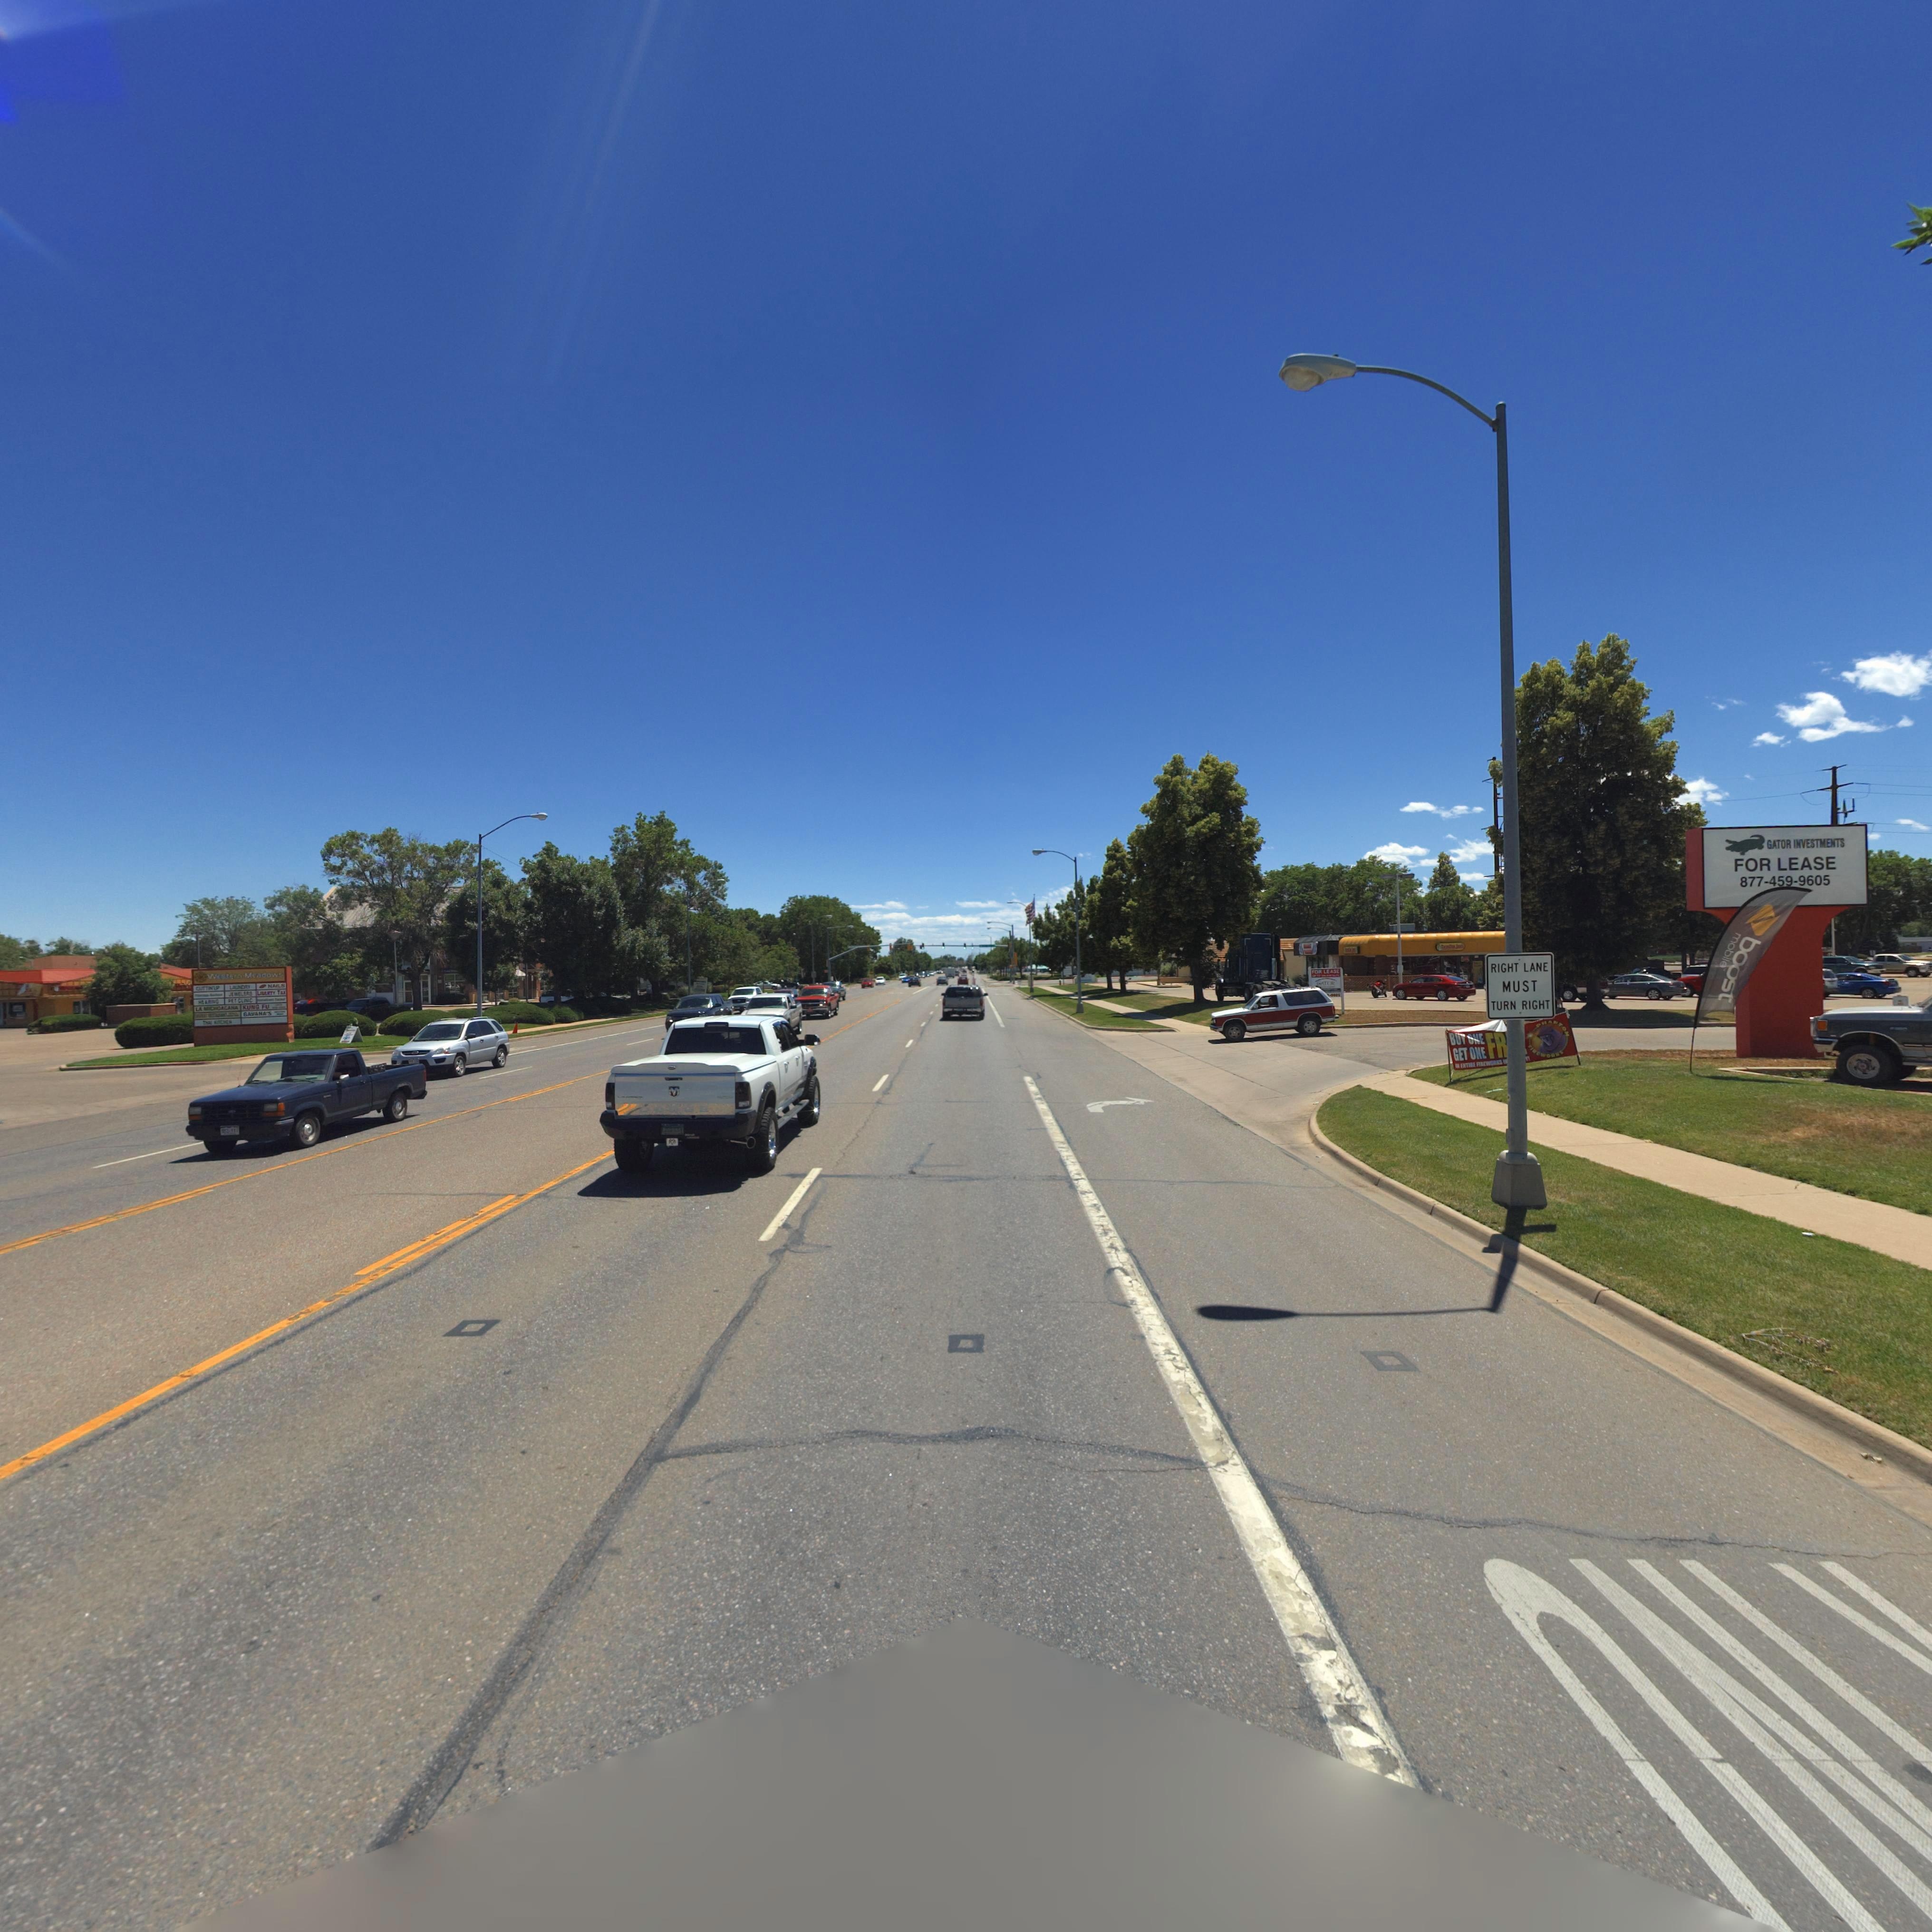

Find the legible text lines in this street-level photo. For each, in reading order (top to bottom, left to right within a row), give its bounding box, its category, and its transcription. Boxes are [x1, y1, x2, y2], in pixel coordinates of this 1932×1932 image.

[257, 990, 285, 995] BusinessName: LI***TY TA*